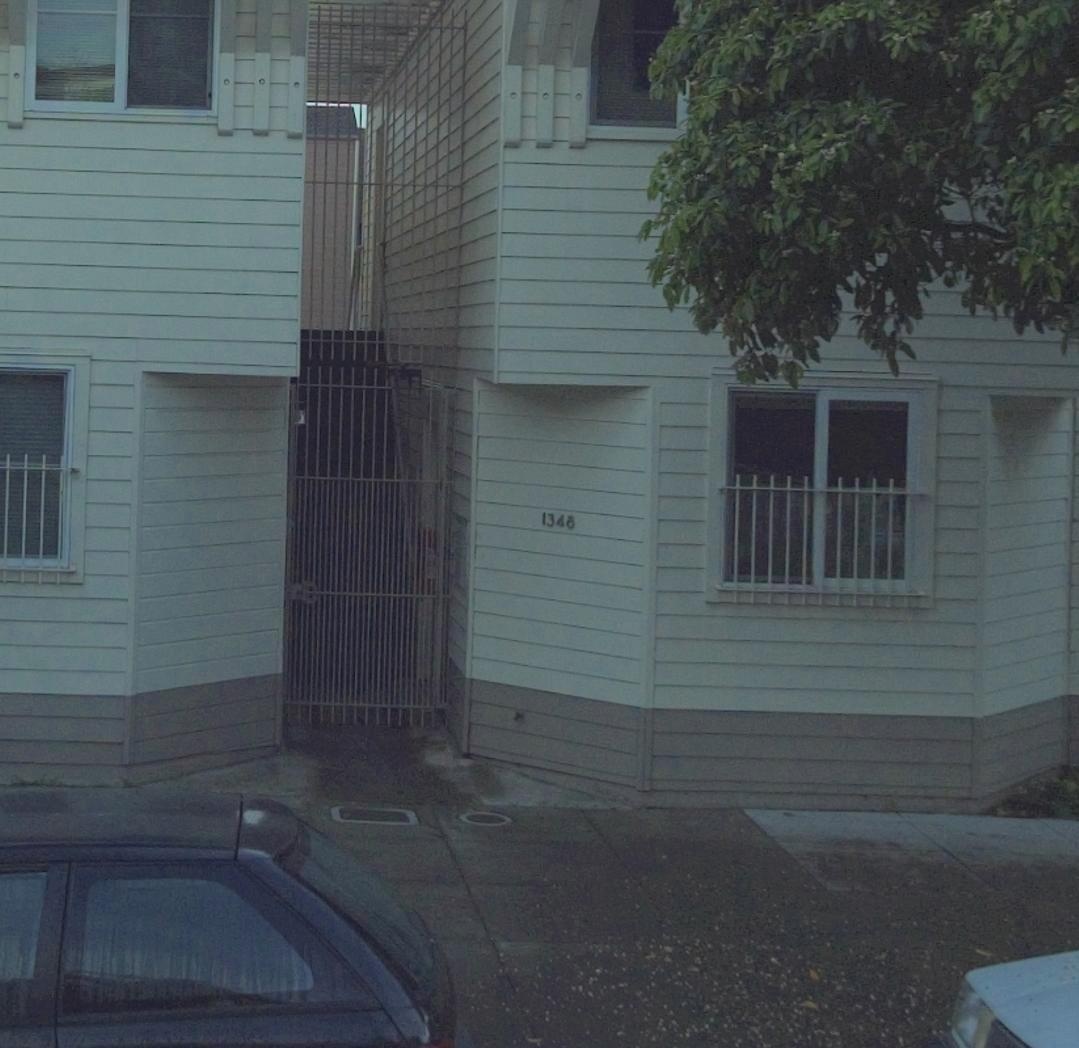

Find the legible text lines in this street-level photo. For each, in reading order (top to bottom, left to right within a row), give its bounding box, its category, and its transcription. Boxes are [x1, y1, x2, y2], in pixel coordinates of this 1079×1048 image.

[539, 509, 578, 534] StreetNumber: 1348